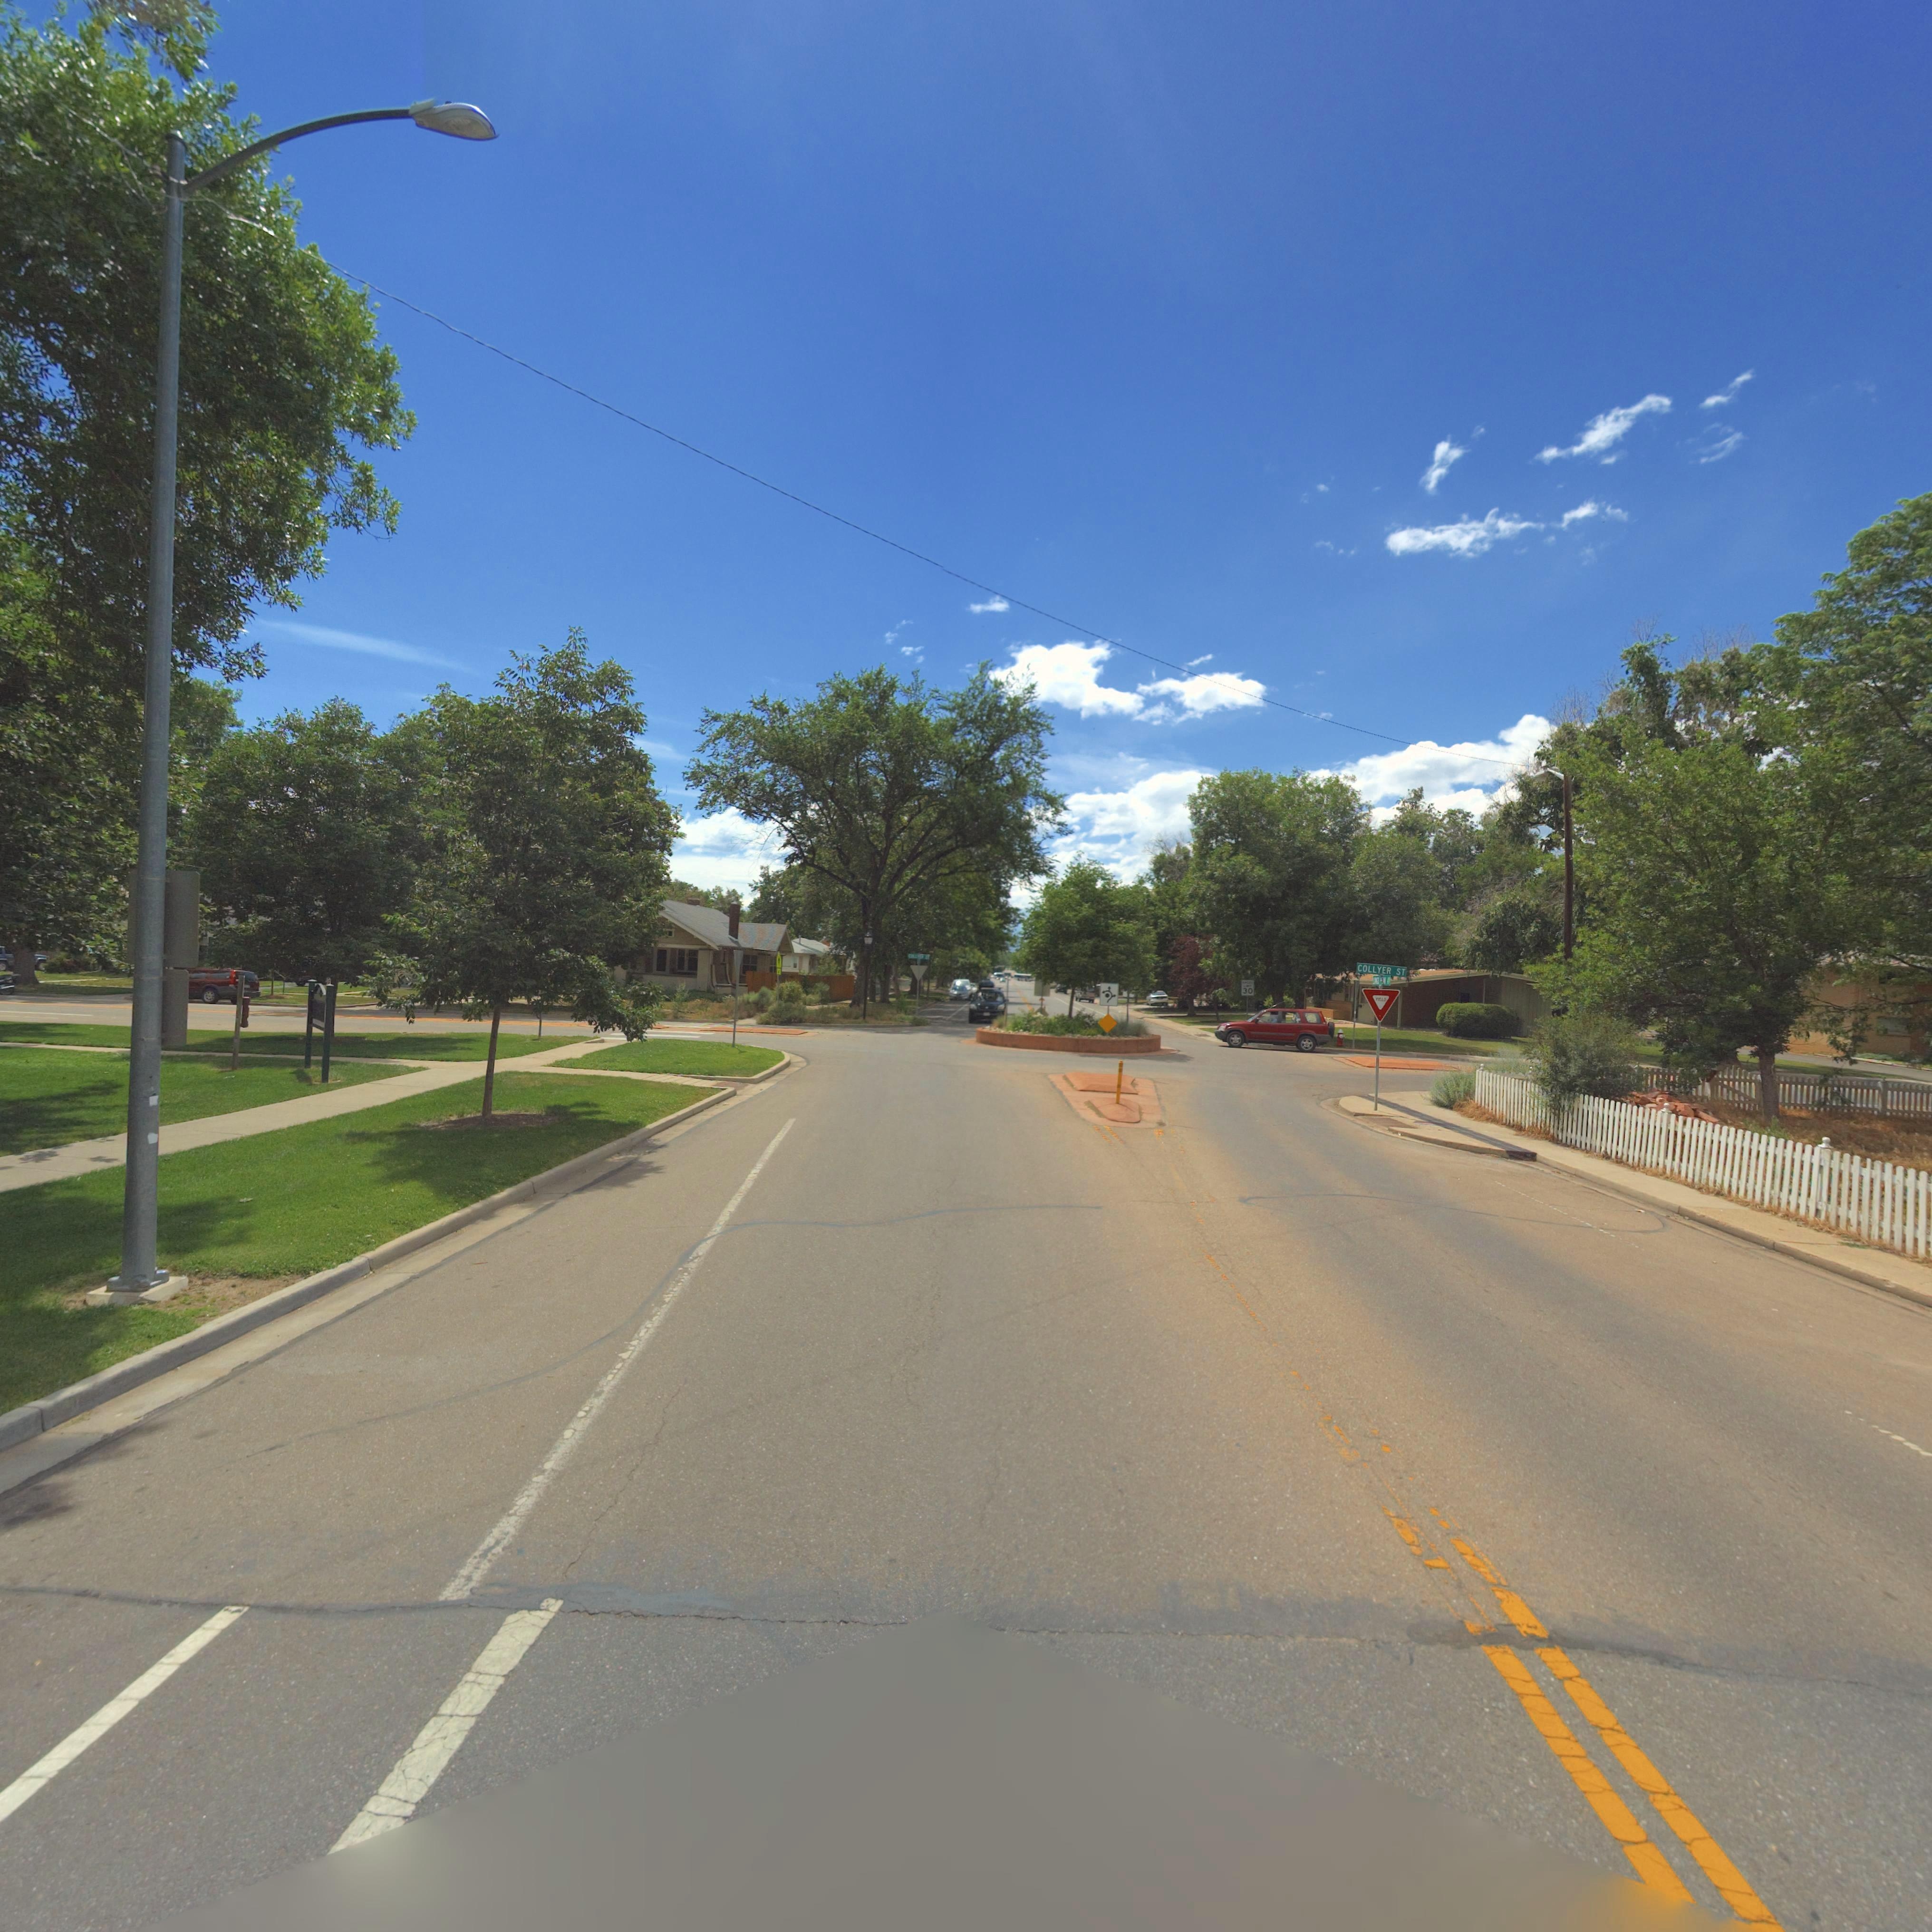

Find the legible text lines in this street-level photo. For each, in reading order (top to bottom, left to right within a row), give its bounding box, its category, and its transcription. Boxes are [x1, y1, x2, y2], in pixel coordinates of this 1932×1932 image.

[908, 953, 929, 959] StreetName: COLLYER ST
[1357, 964, 1406, 976] StreetName: COLLYER ST
[1372, 976, 1391, 985] StreetName: LONGS PEAK AV